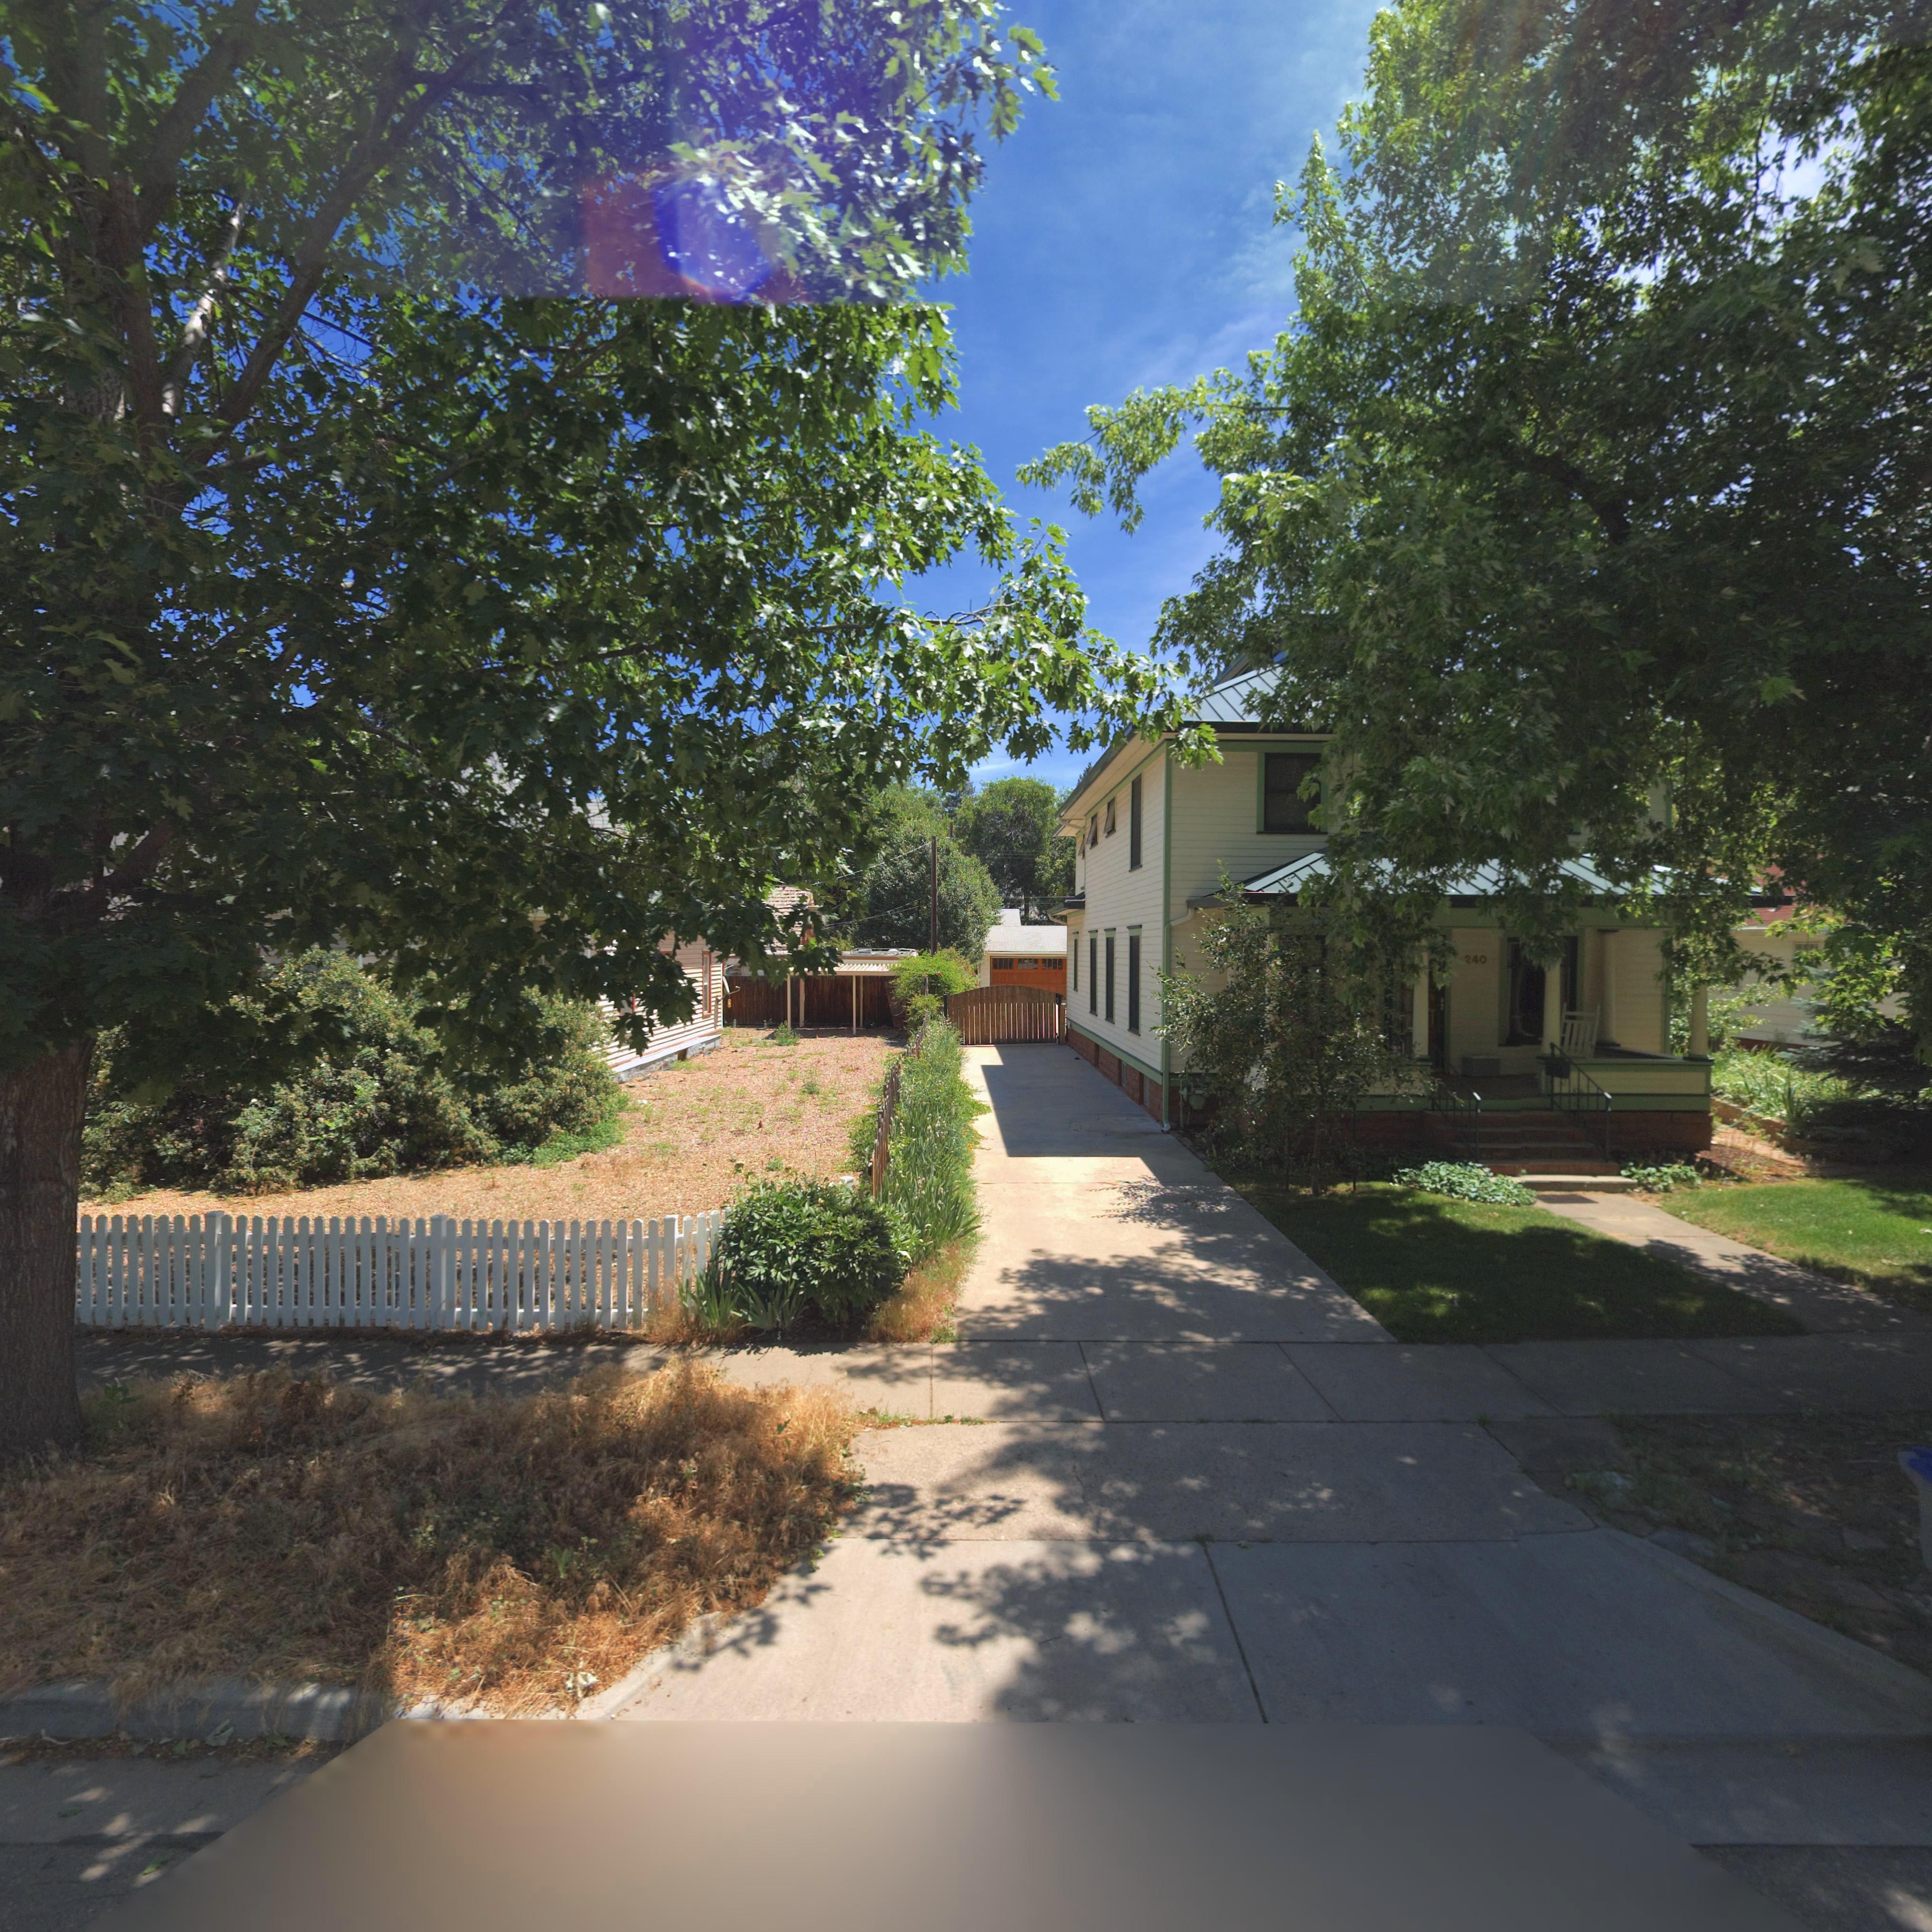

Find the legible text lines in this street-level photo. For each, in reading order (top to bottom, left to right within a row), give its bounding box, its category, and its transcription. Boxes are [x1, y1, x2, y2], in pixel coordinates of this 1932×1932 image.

[1464, 955, 1487, 965] StreetNumber: 240